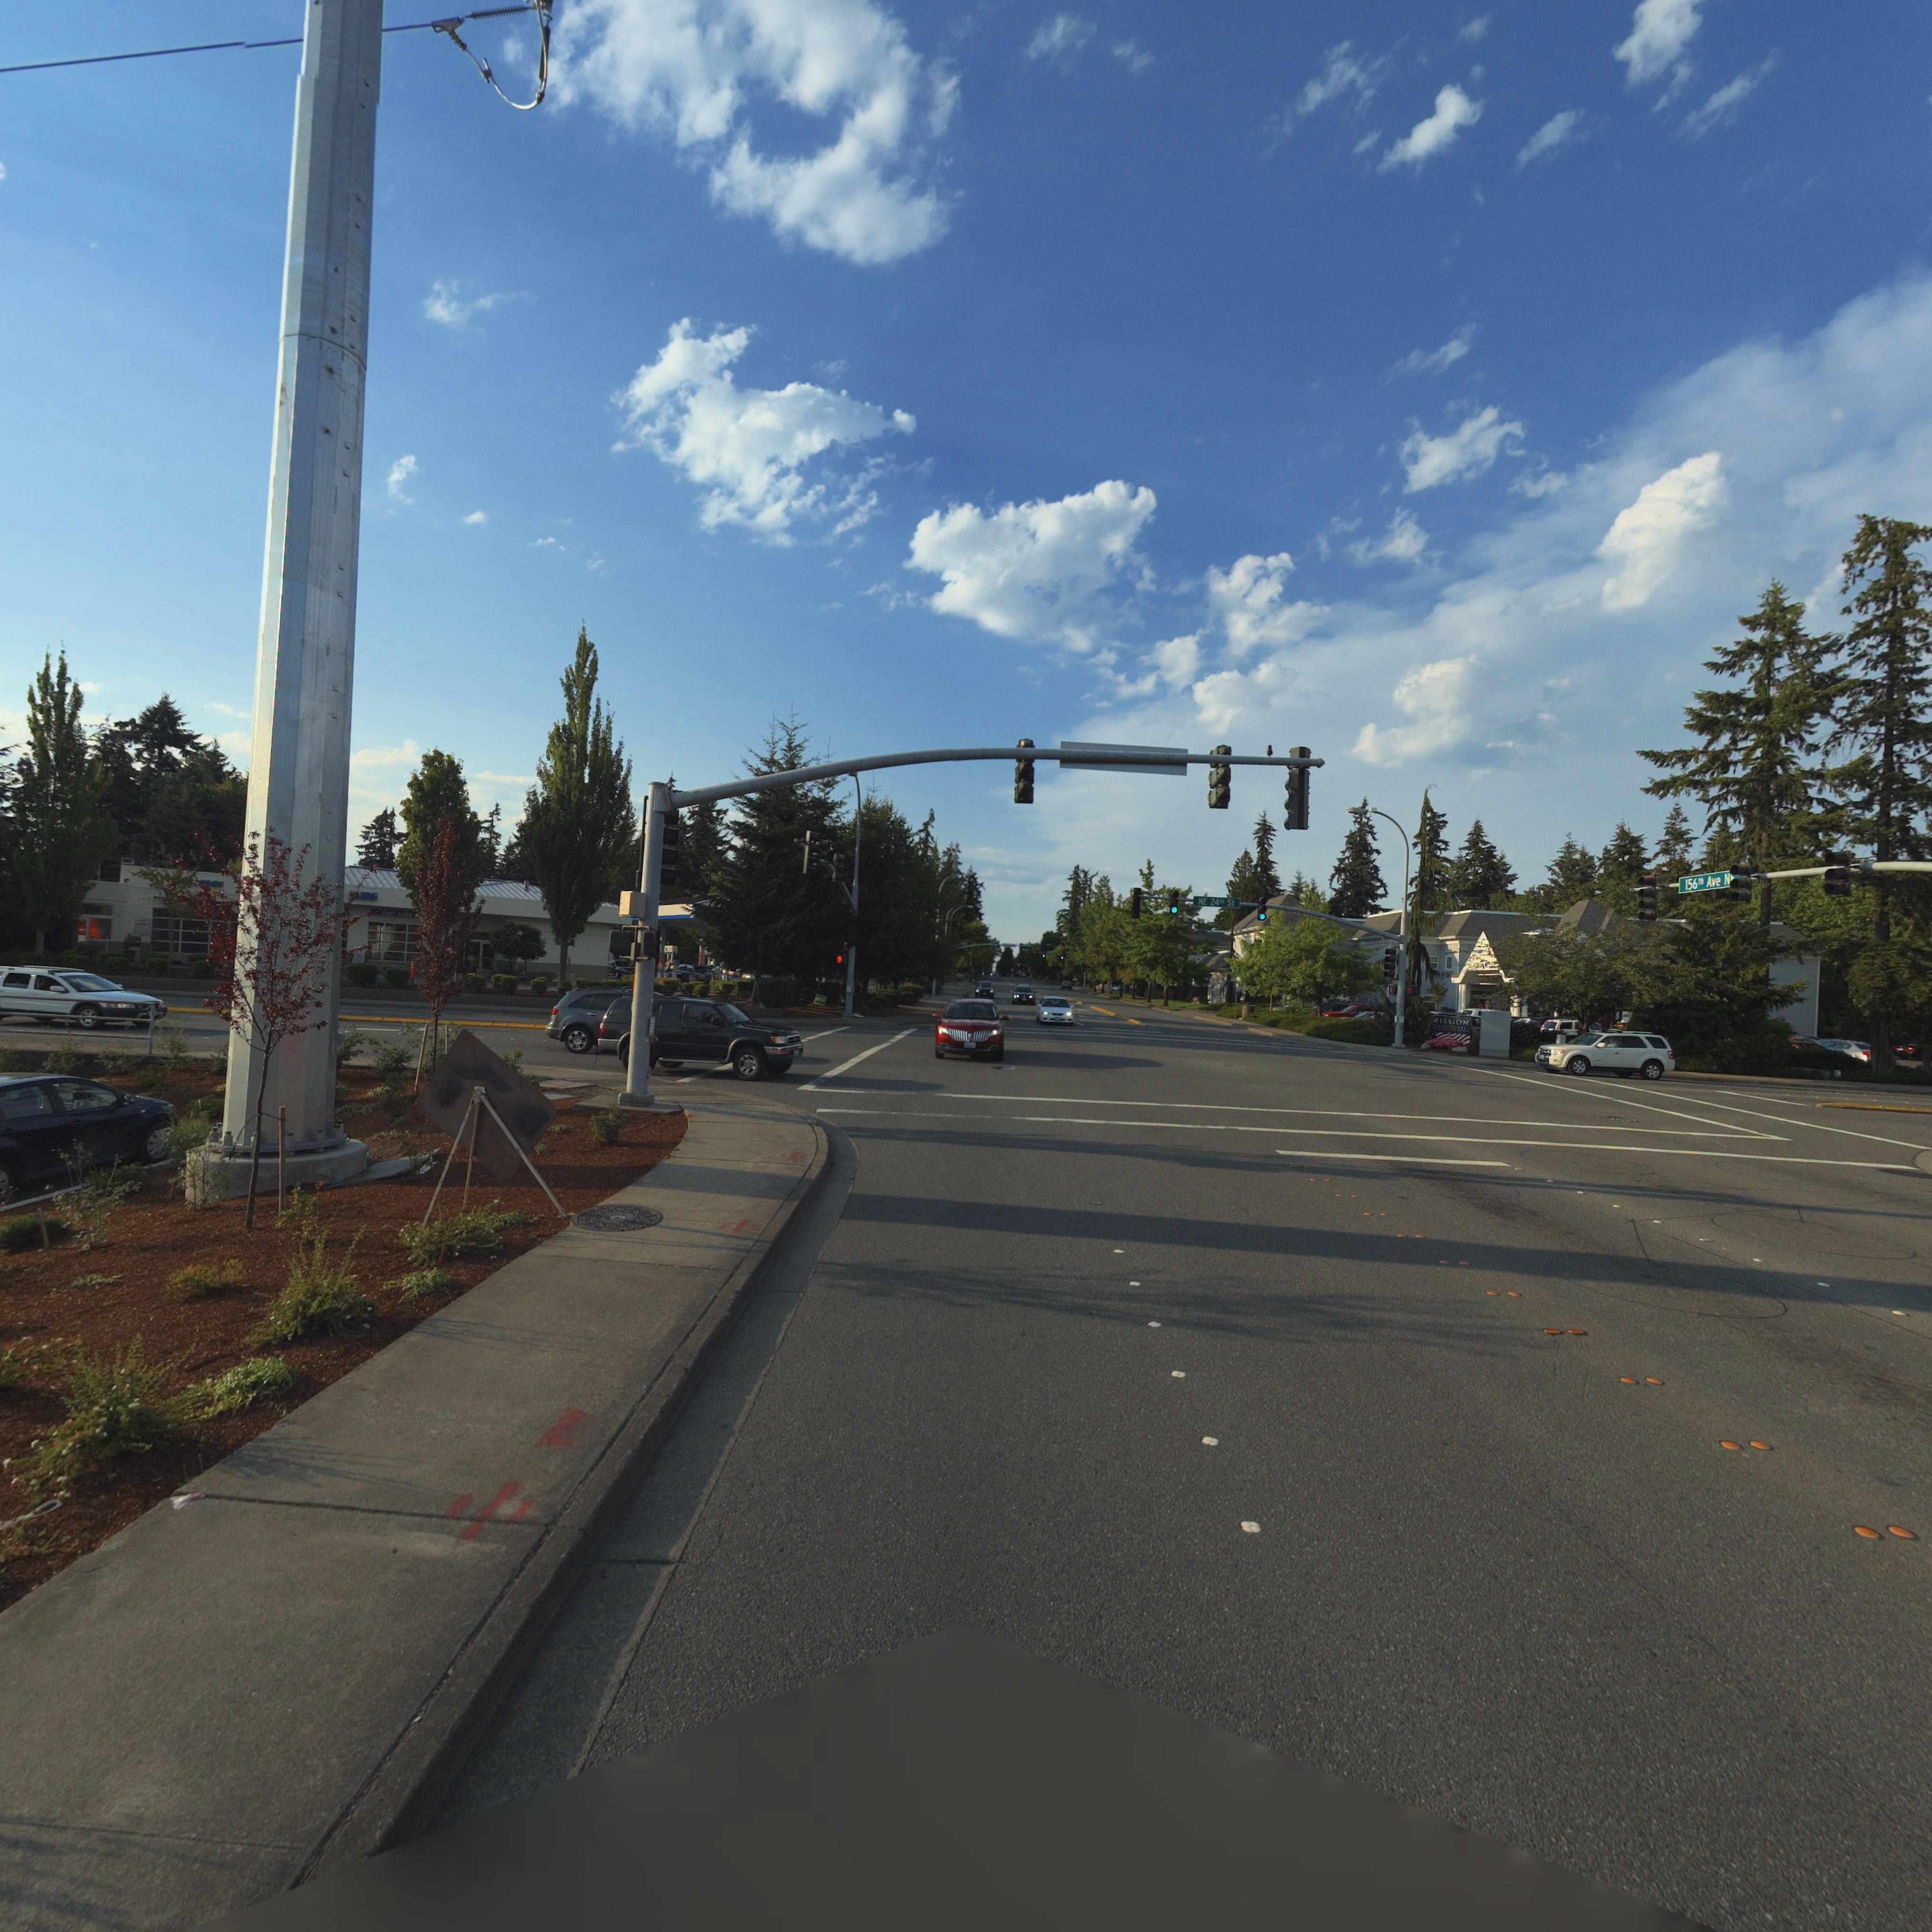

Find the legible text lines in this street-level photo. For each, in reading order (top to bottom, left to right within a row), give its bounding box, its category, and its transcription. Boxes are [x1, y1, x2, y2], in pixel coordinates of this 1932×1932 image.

[1684, 871, 1729, 892] StreetNumber: 156th Ave N
[1198, 898, 1236, 907] StreetName: NE 24th St
[1432, 1017, 1468, 1026] BusinessName: MISSION